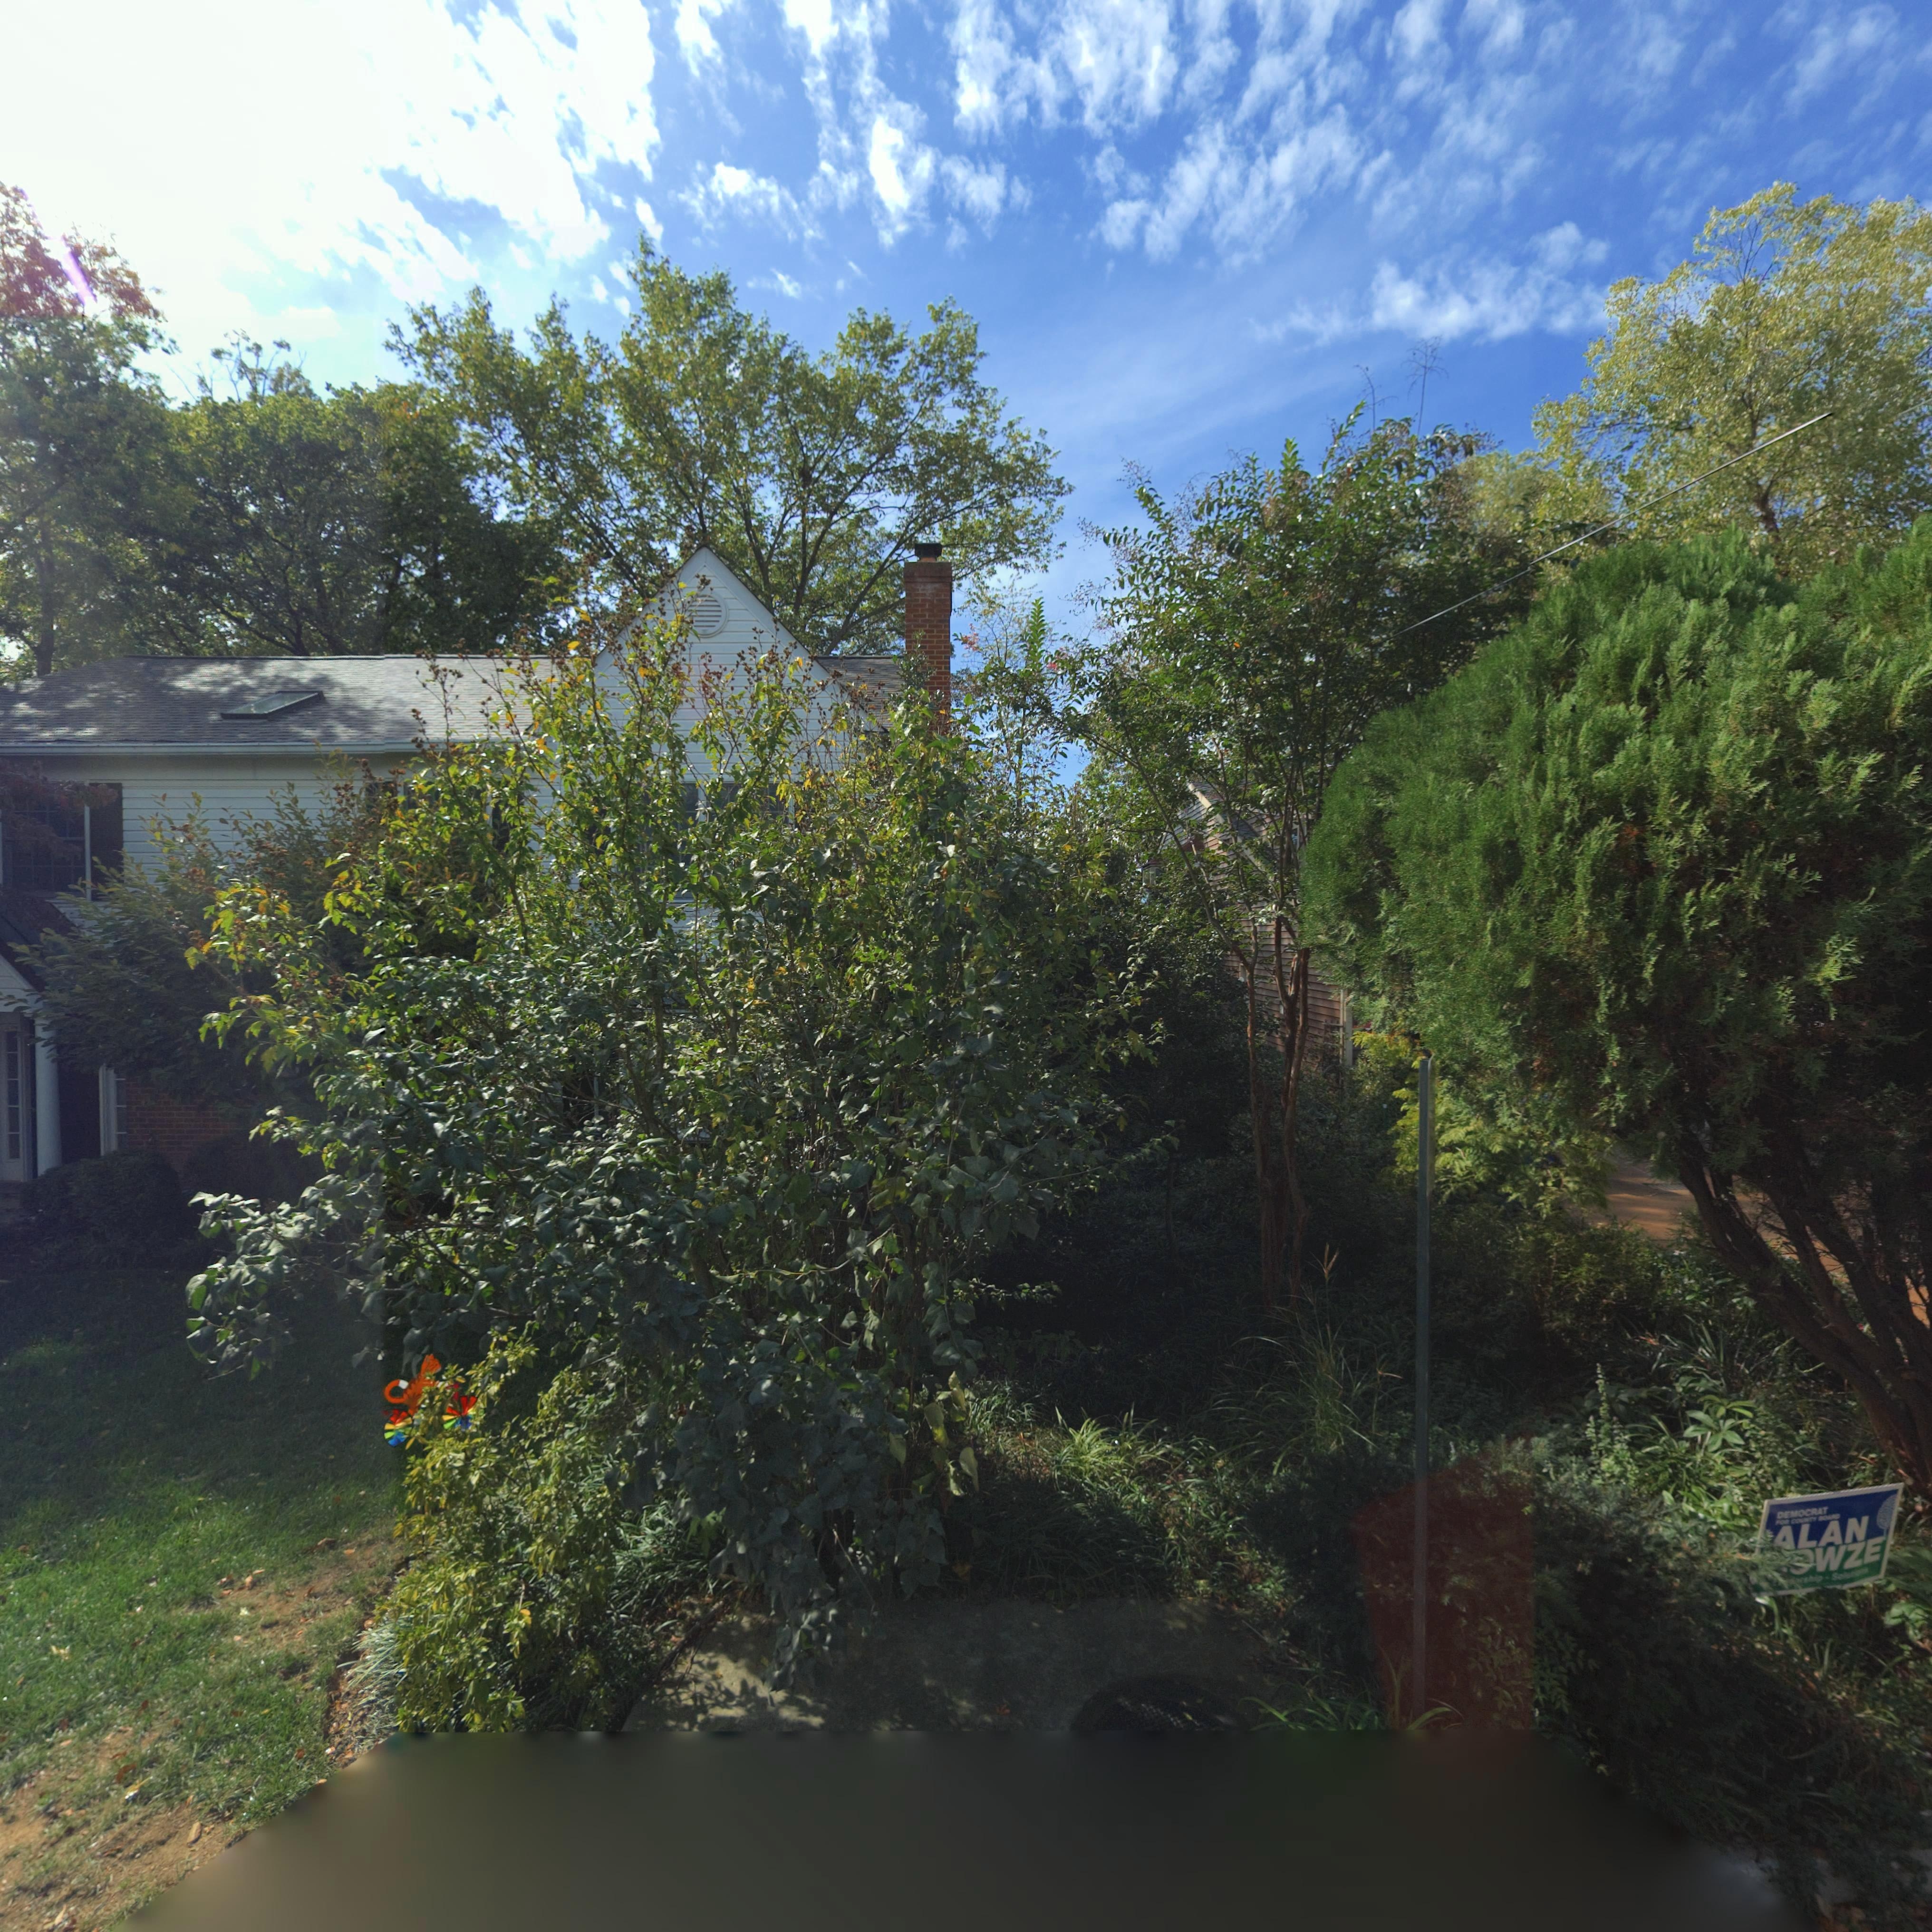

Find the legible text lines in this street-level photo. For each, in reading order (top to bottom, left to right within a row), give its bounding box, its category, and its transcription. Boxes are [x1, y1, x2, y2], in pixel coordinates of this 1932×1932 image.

[1776, 1505, 1830, 1521] None: DEMOCRAT
[1796, 1514, 1871, 1549] None: LAN
[1814, 1535, 1886, 1573] None: WZE